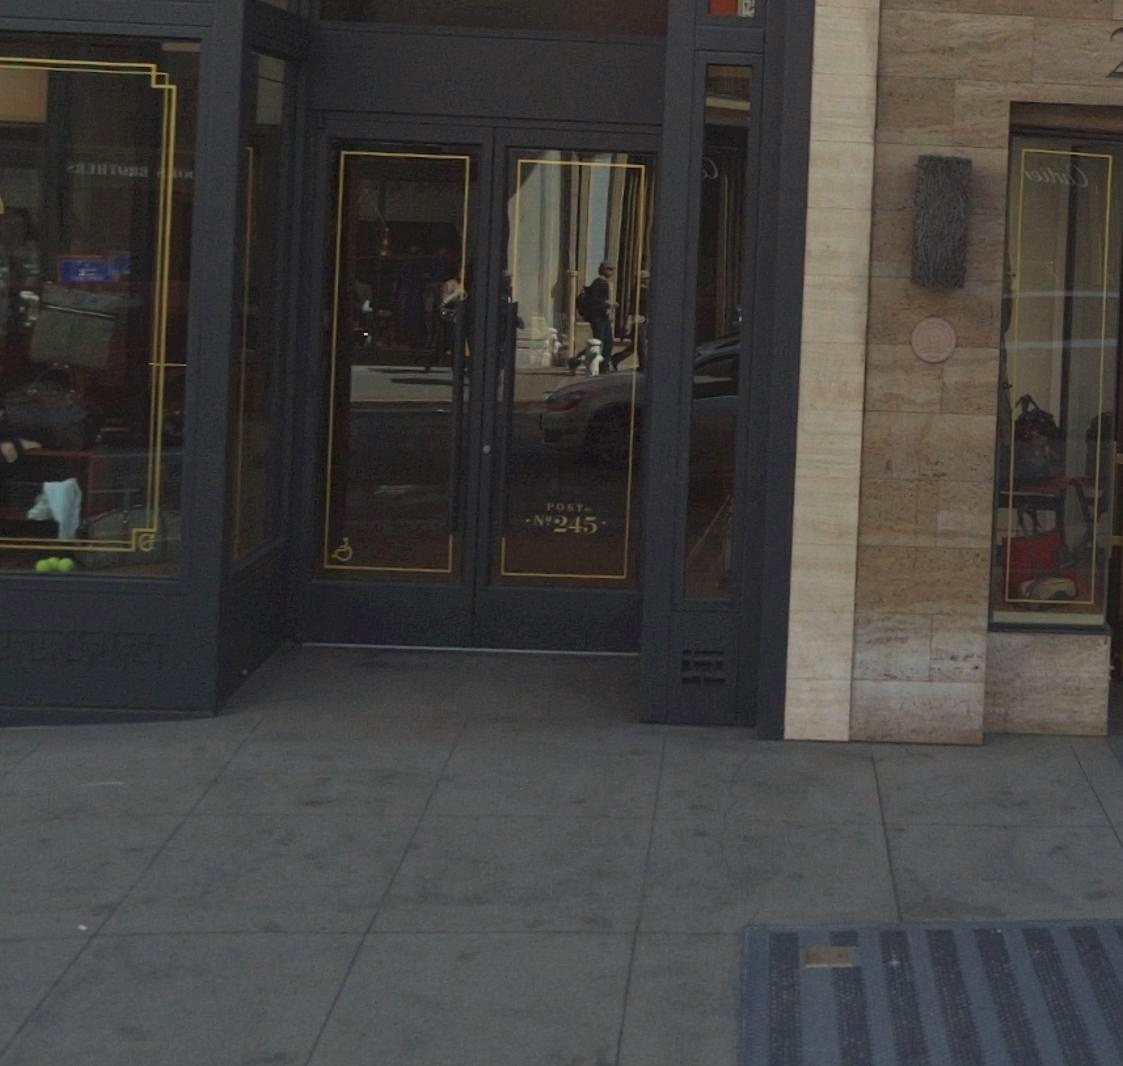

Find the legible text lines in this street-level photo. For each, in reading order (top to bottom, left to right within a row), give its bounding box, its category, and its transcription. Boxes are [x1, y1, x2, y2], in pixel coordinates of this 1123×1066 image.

[545, 502, 585, 512] StreetName: POST
[532, 514, 552, 526] None: NO
[553, 514, 598, 534] StreetNumber: 245